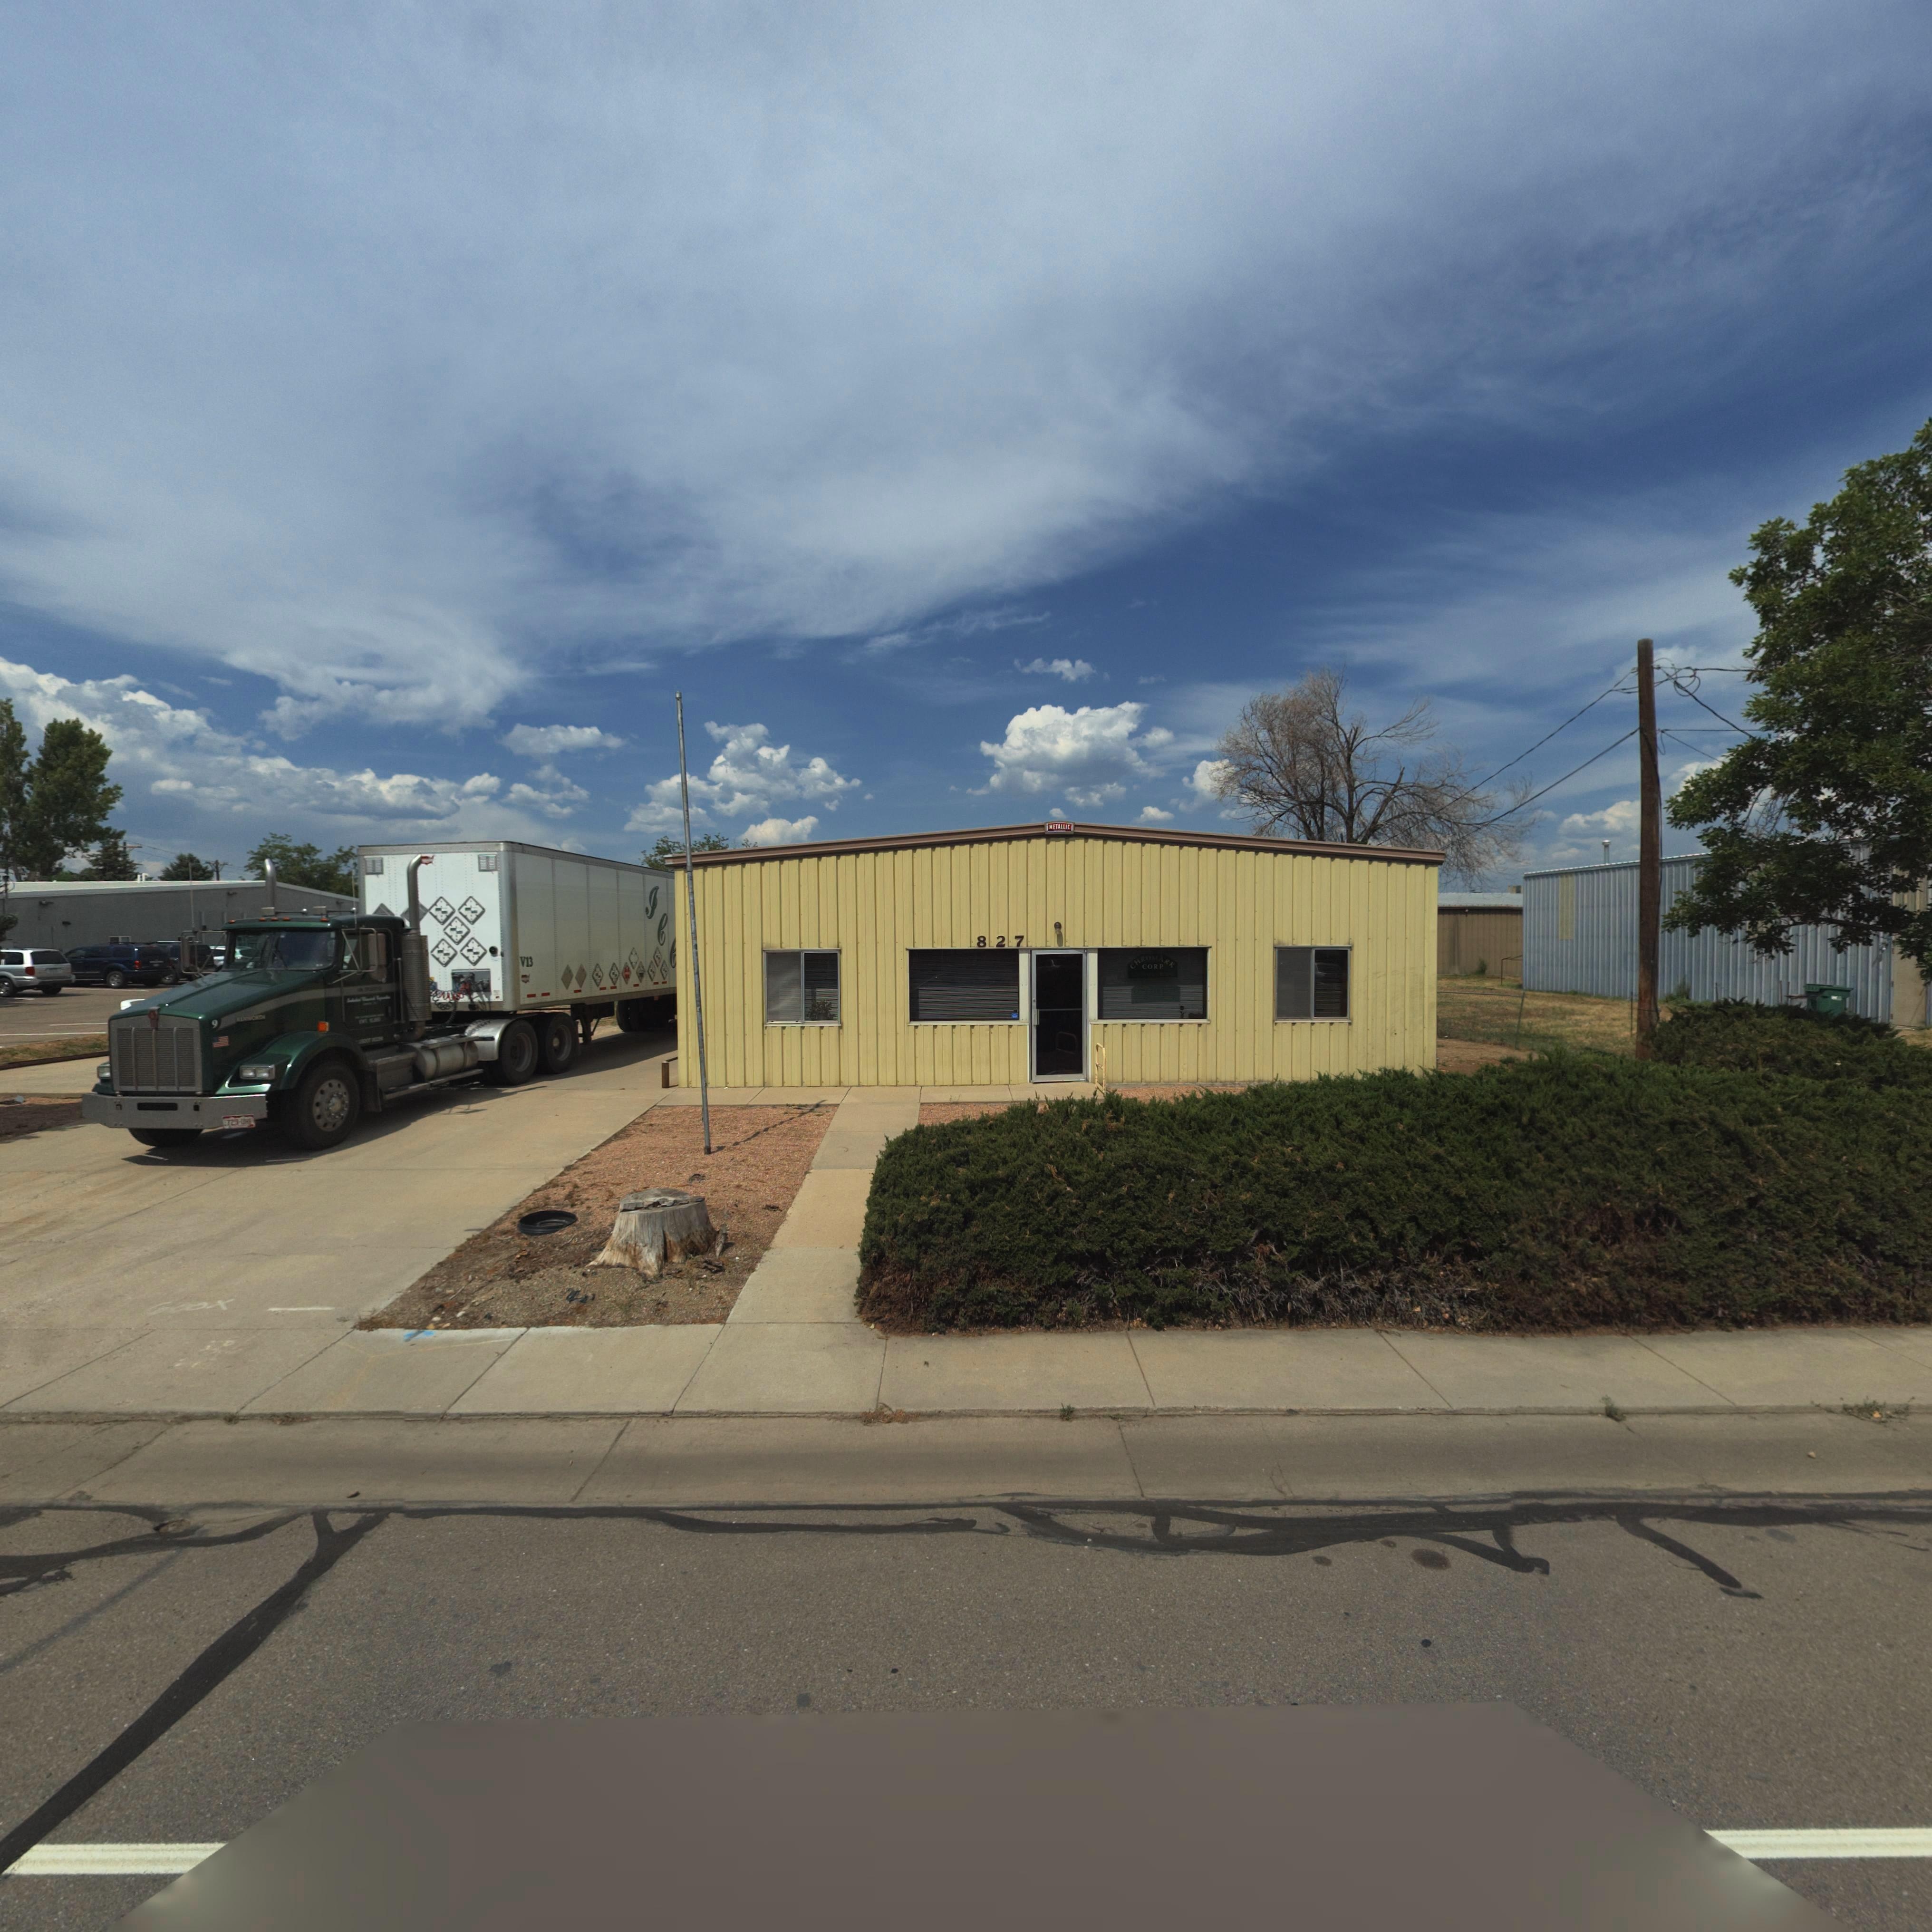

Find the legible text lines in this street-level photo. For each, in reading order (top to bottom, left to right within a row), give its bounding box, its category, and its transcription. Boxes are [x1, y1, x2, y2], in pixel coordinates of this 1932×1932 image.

[976, 935, 1024, 948] StreetNumber: 827
[1130, 954, 1175, 969] BusinessName: CHROMARK
[1141, 963, 1163, 970] BusinessName: CORP